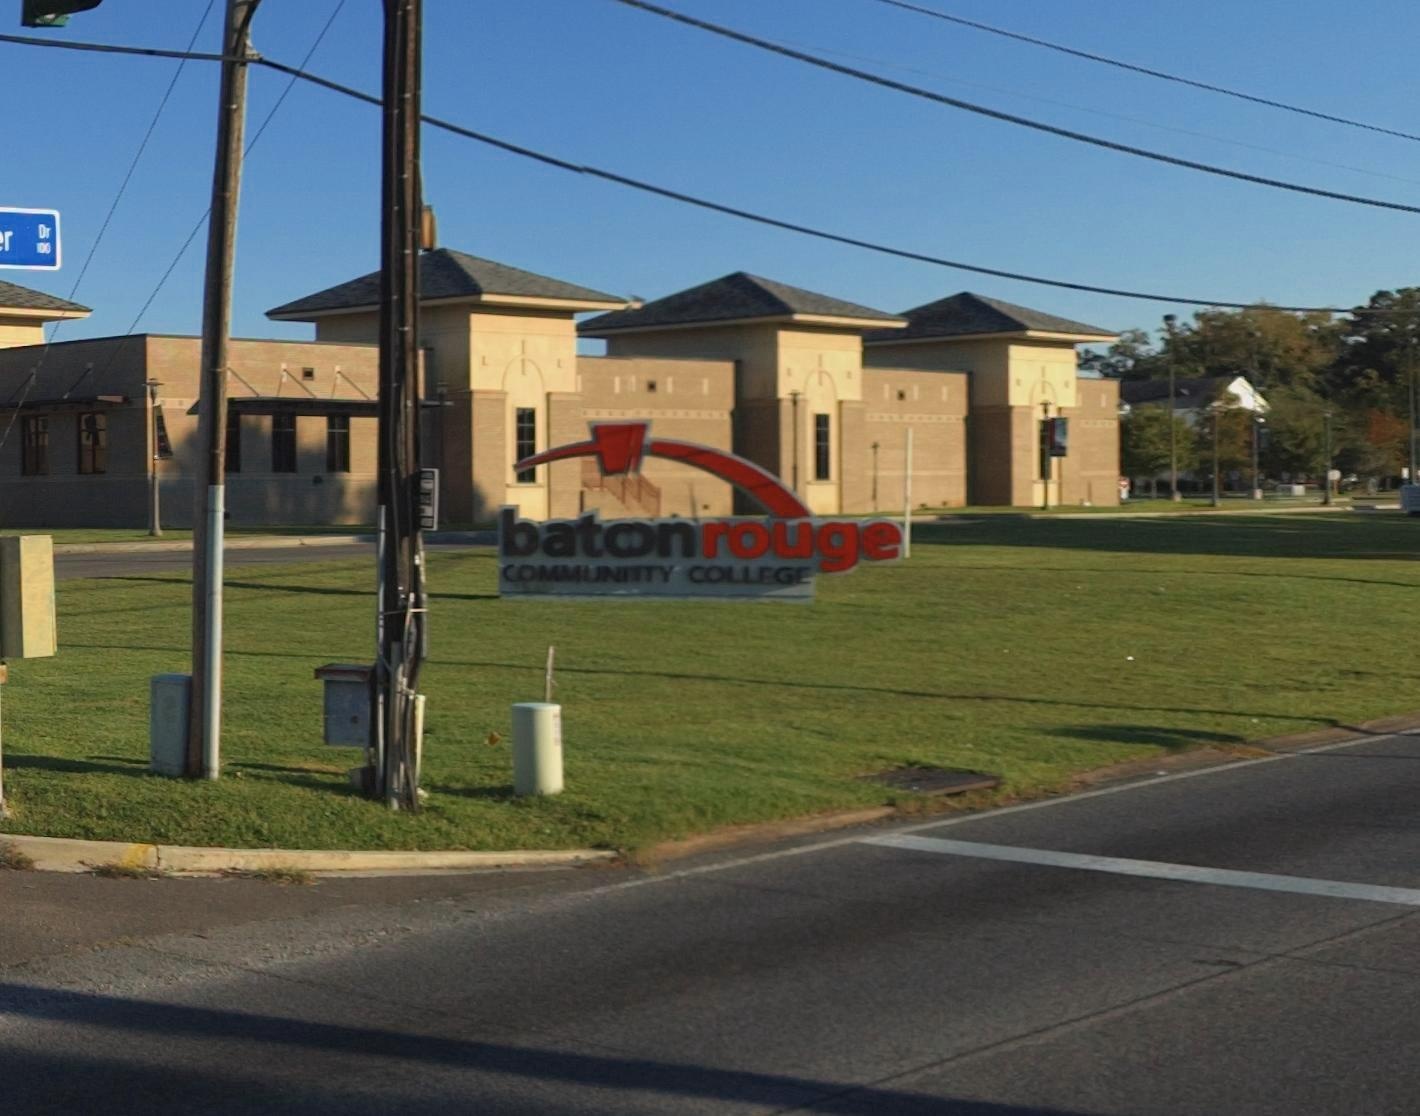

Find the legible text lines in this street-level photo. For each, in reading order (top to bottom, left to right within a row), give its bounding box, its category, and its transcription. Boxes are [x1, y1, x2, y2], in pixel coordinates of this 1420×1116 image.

[3, 223, 52, 253] StreetName: r Dr
[35, 241, 52, 256] StreetNumberRange: 100
[501, 507, 903, 573] BusinessName: bat*nrouge
[500, 562, 814, 585] BusinessName: COMMUNITY COLLEGE